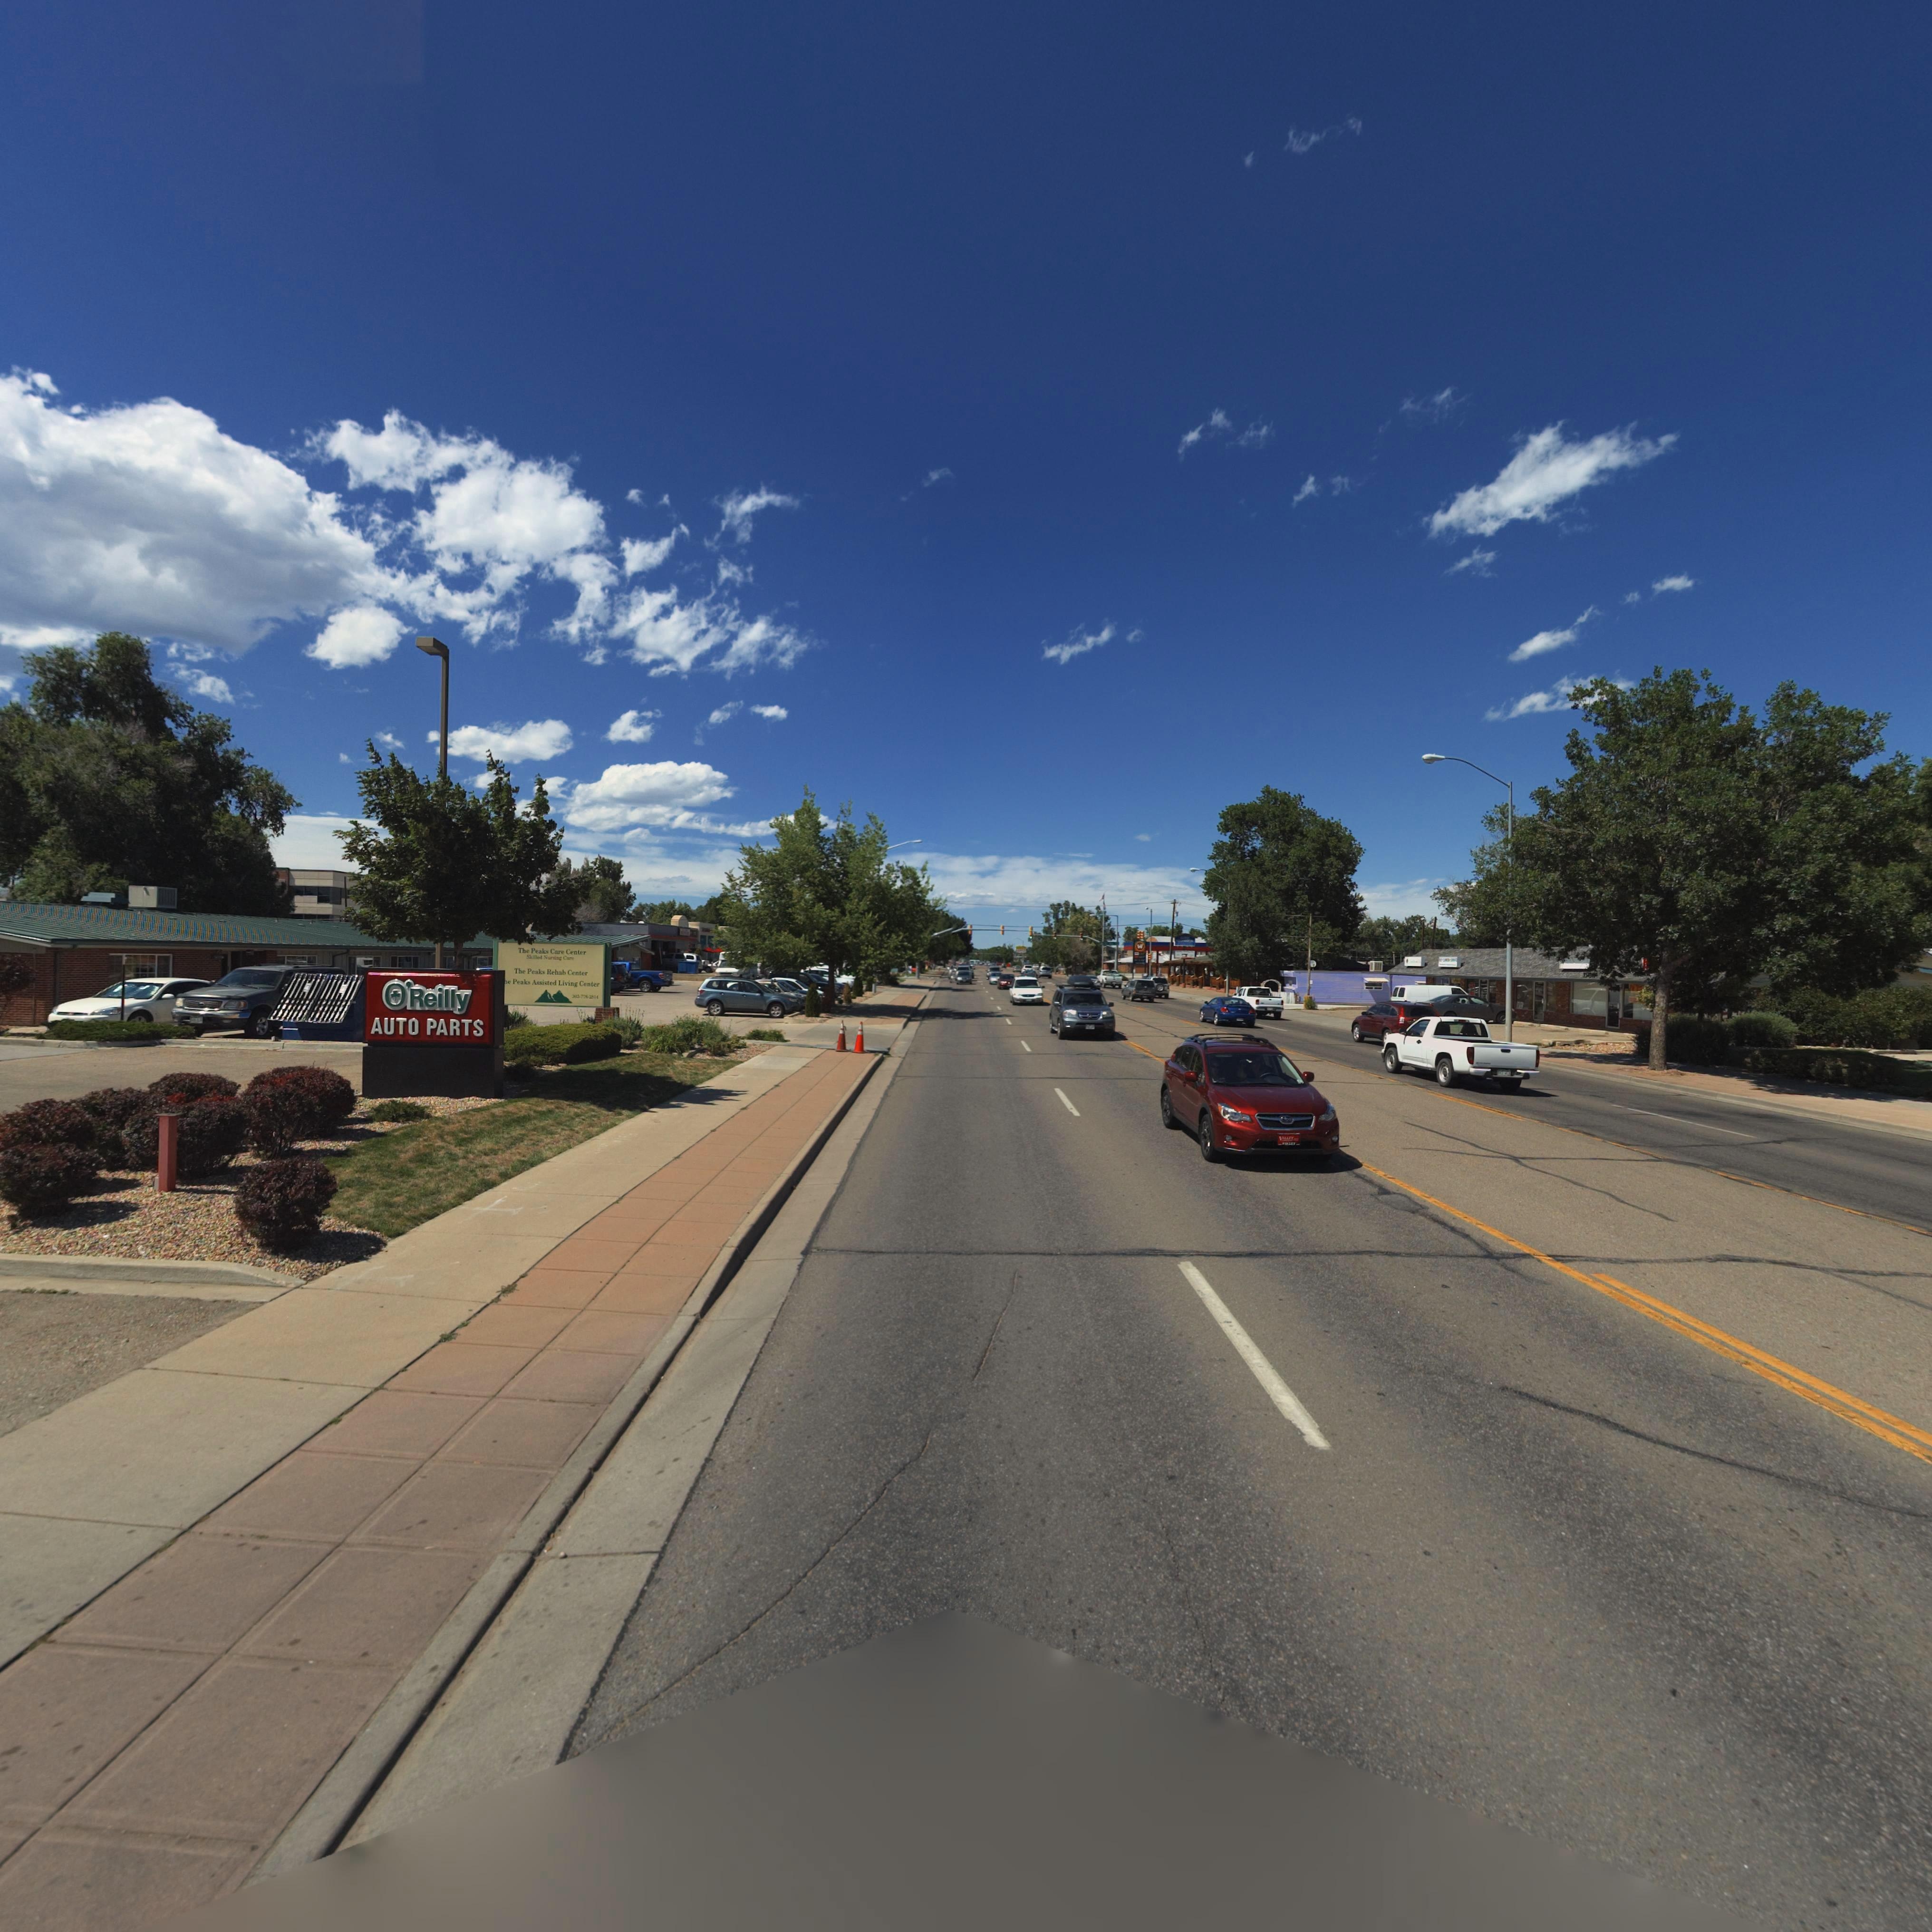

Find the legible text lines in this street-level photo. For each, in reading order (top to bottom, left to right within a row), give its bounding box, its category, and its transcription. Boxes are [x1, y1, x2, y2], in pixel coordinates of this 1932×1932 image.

[518, 947, 586, 955] BusinessName: The Peaks Care Center
[514, 967, 588, 976] BusinessName: The Peaks Rehab Center
[504, 978, 599, 987] BusinessName: *he Peaks Assisted Living Center
[384, 981, 469, 1012] BusinessName: O'Reilly
[370, 1017, 483, 1036] BusinessName: AUTO PARTS